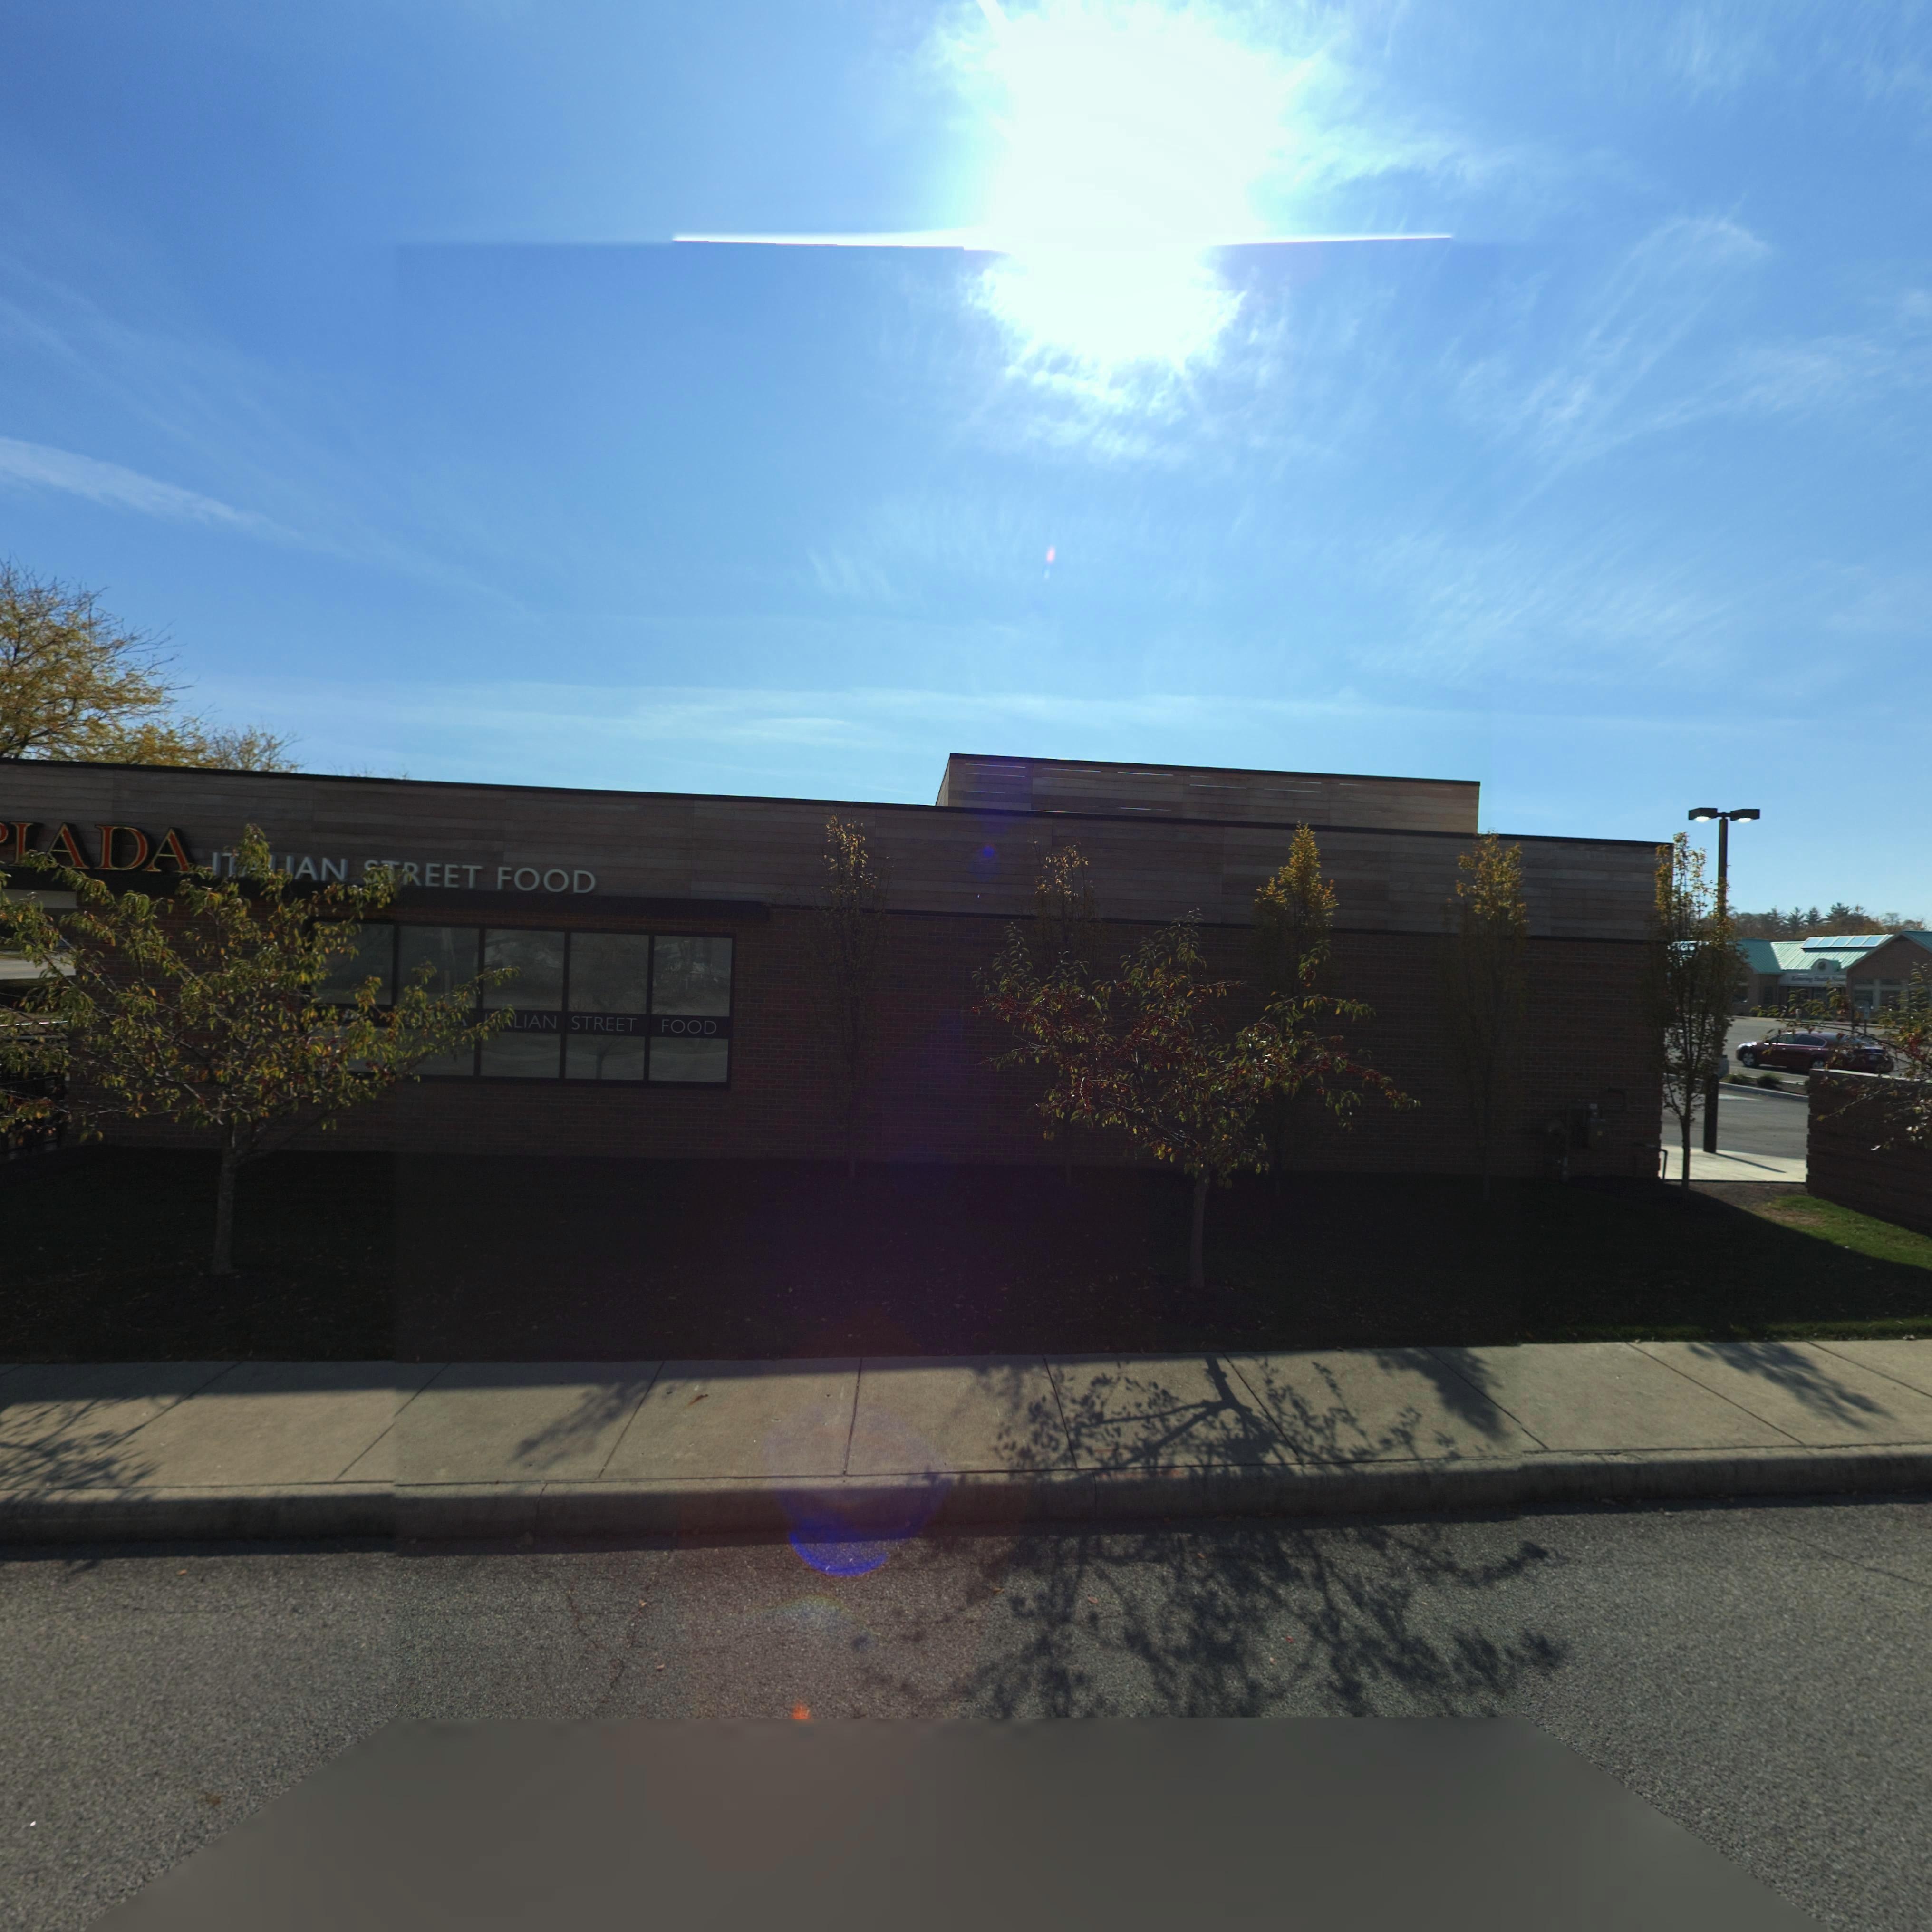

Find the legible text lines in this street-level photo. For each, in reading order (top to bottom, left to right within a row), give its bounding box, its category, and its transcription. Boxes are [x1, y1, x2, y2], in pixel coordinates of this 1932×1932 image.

[9, 817, 599, 896] BusinessName: IADA I***AN **REET FOOD
[512, 1012, 719, 1035] BusinessName: LIAN * STREET * FOOD